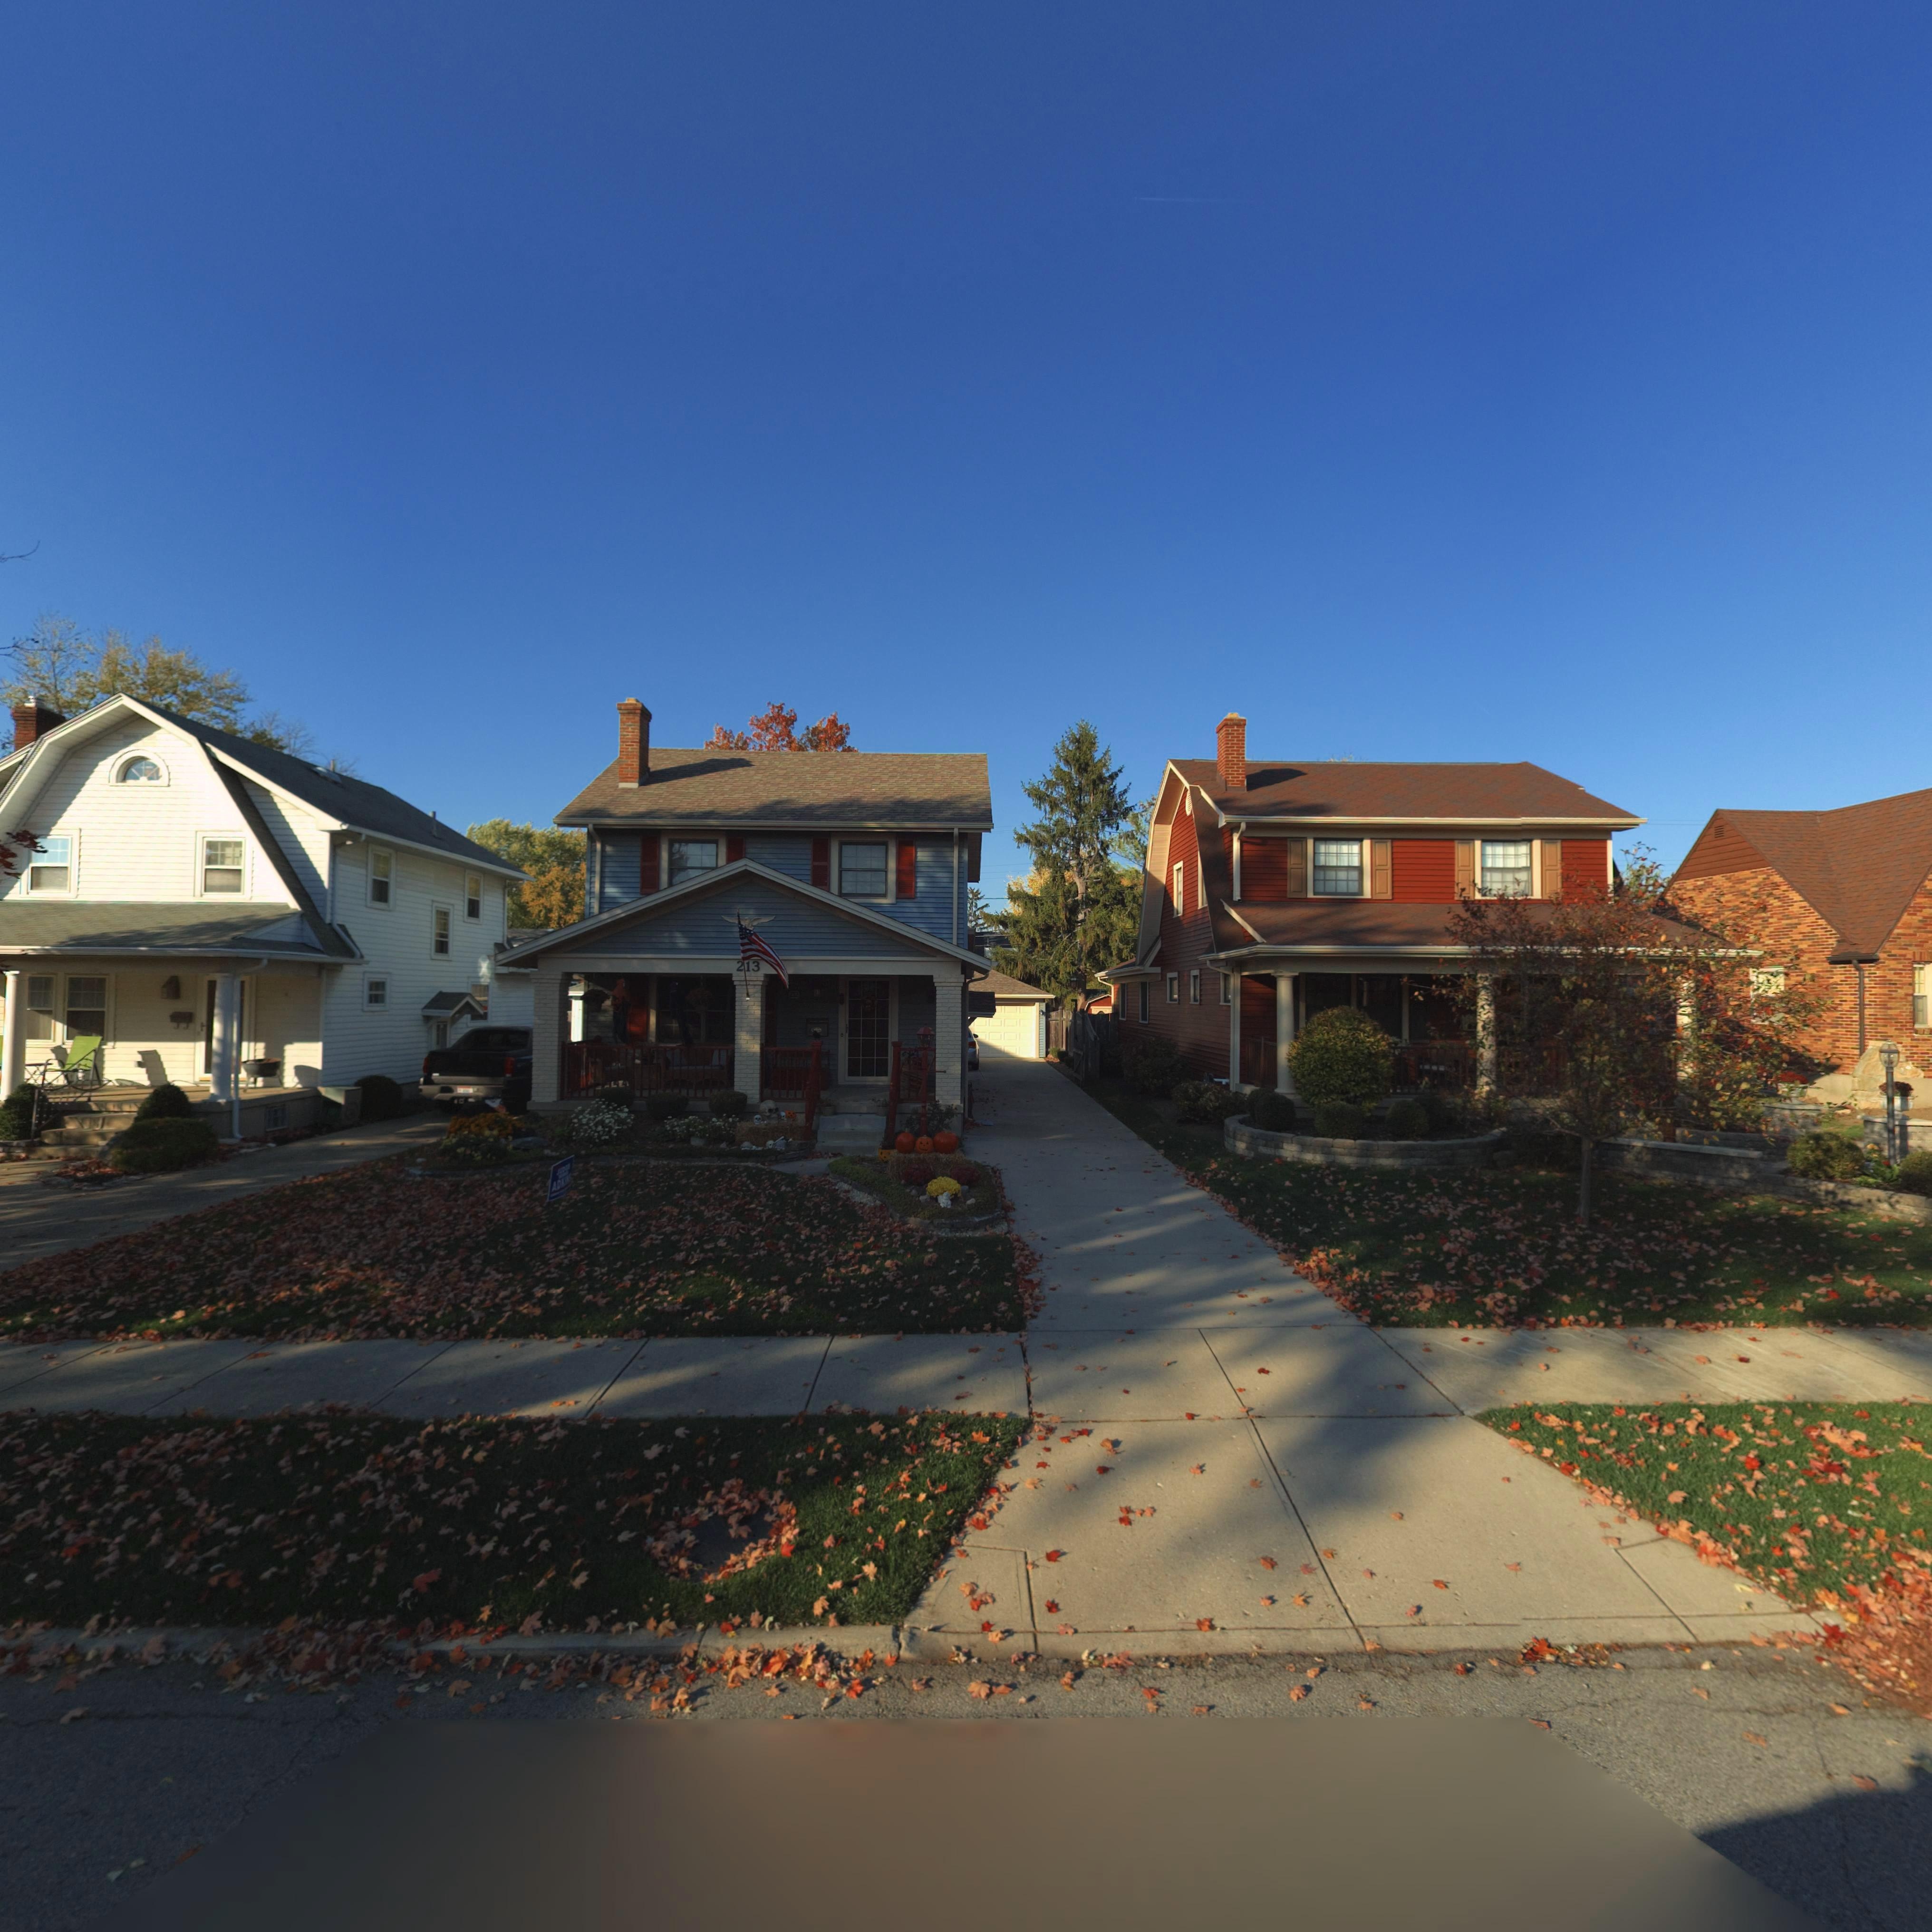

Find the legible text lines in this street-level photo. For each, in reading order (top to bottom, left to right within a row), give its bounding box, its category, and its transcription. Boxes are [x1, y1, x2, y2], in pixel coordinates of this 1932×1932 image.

[735, 960, 760, 973] StreetNumber: 213
[789, 991, 799, 998] StreetNumber: 213